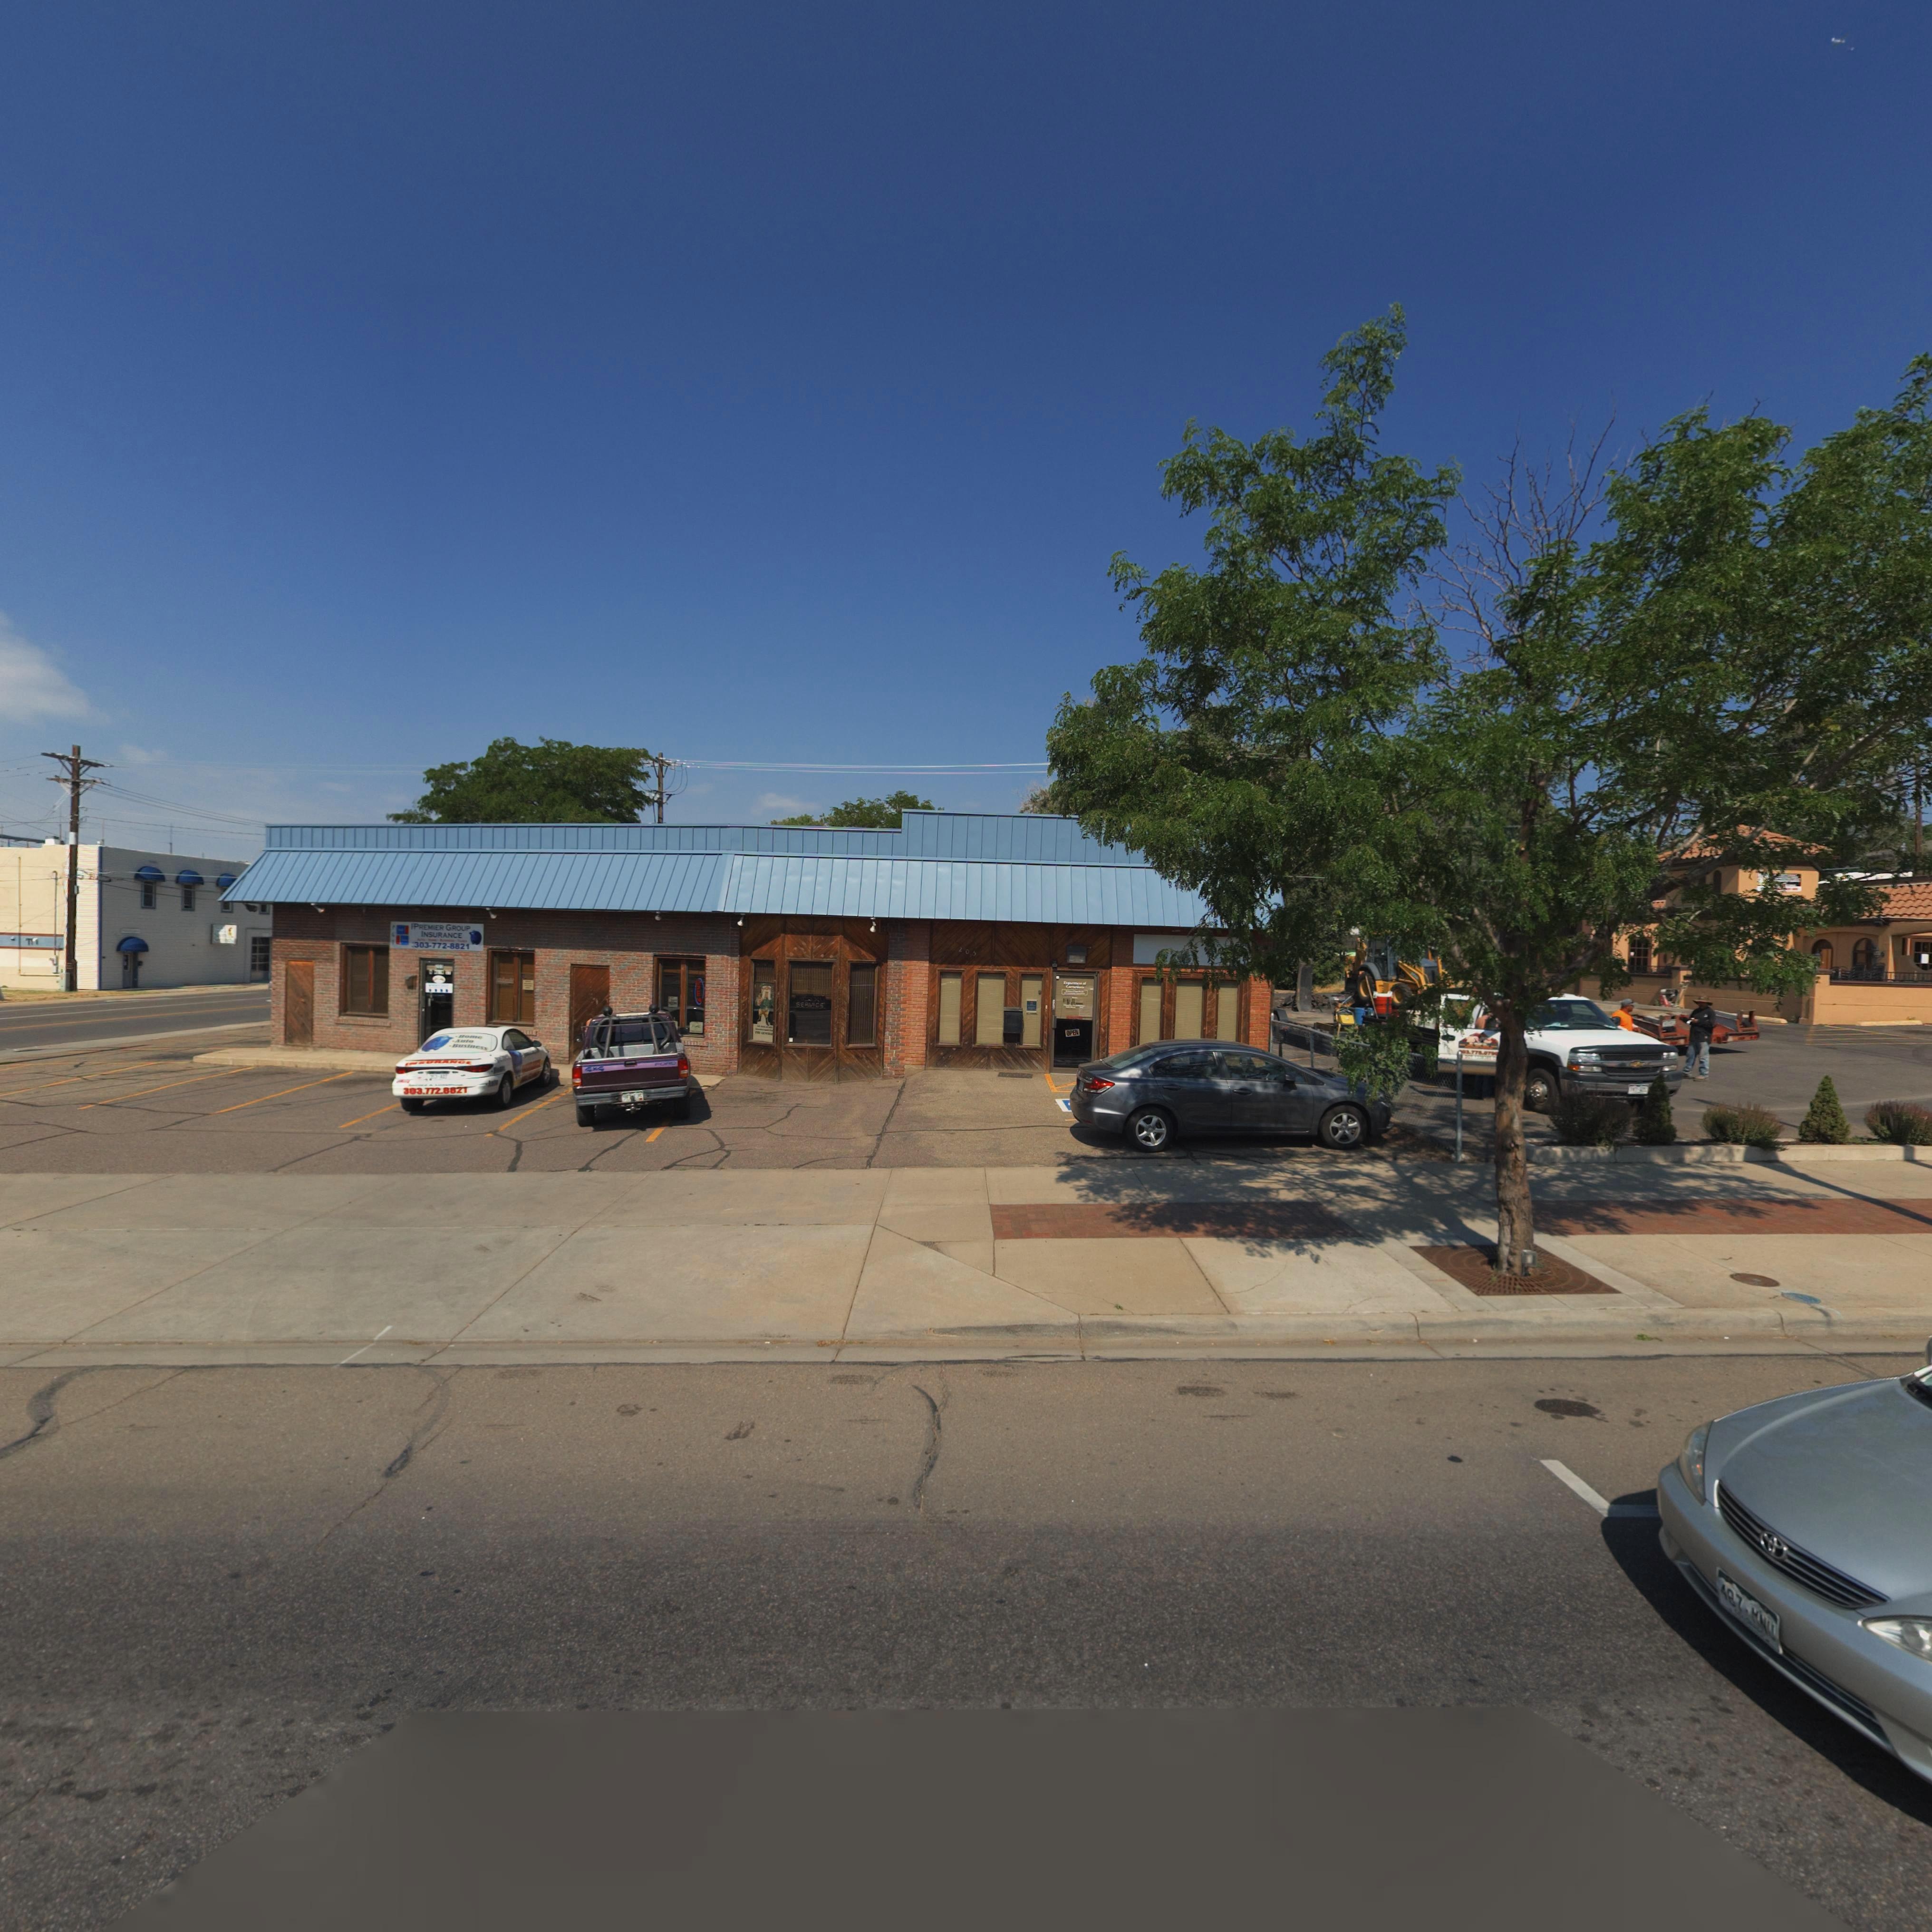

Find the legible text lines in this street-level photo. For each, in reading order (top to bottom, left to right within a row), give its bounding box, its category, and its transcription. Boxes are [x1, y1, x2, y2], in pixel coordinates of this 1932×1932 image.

[411, 923, 471, 931] BusinessName: *PREMIER GROUP
[421, 930, 463, 938] BusinessName: INSURANCE
[958, 947, 976, 956] StreetNumber: 205